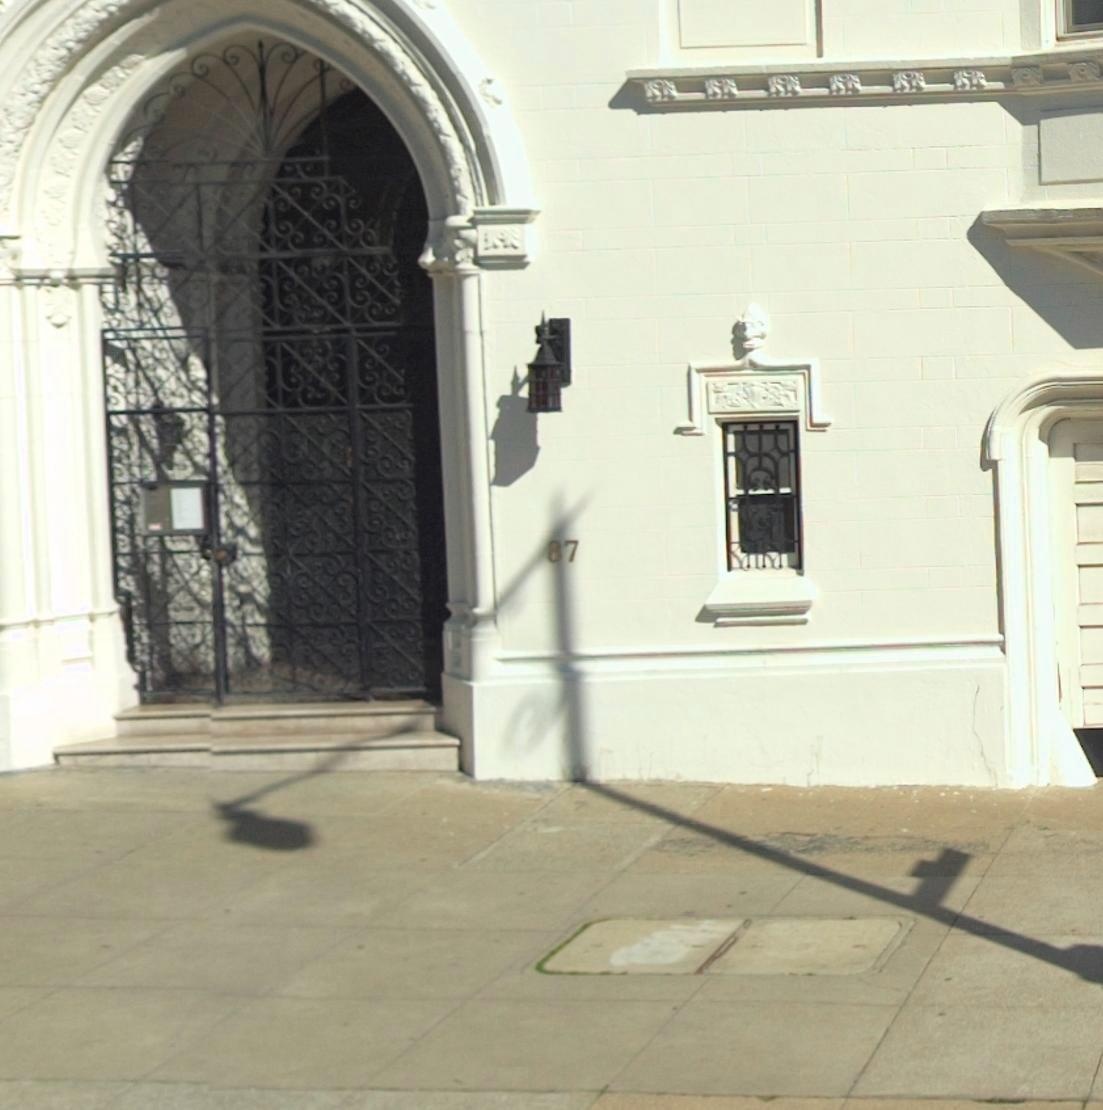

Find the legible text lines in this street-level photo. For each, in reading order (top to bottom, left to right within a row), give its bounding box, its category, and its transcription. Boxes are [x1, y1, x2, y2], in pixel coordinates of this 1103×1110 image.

[547, 539, 580, 564] StreetNumber: 87